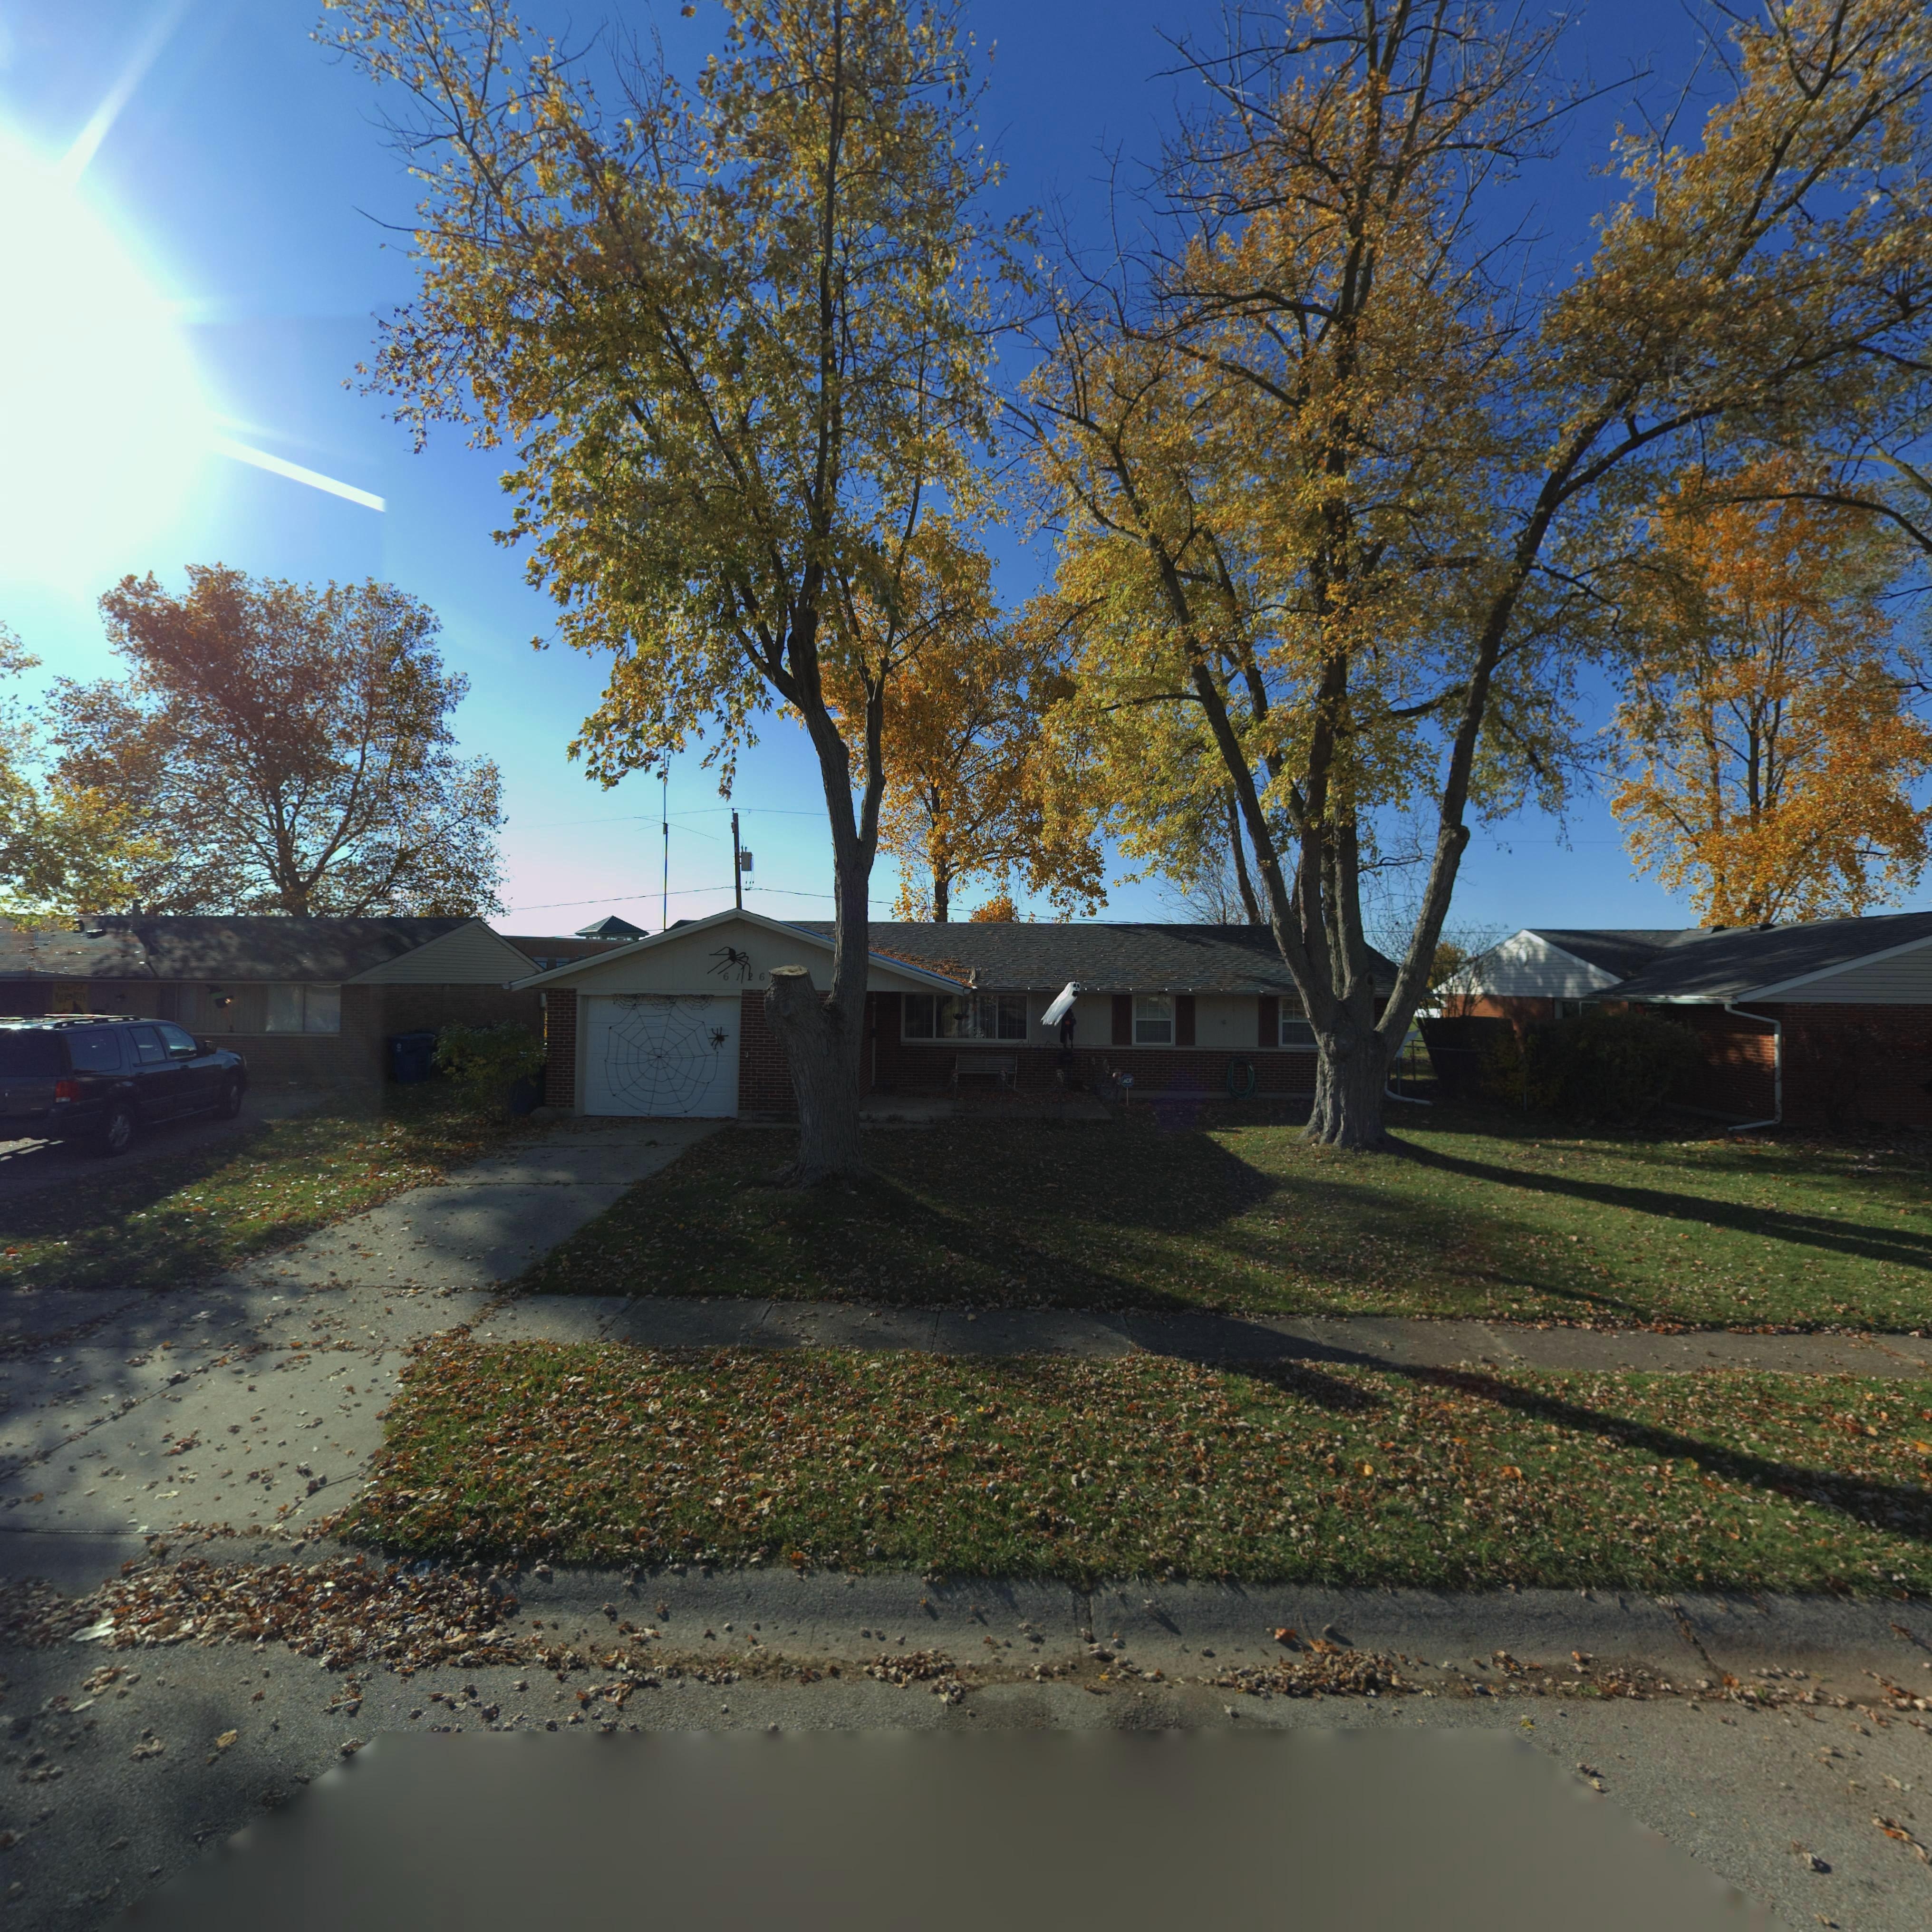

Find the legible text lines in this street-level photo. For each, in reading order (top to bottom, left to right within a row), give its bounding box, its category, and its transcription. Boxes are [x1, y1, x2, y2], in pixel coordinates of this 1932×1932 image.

[722, 972, 765, 982] StreetNumber: 6126